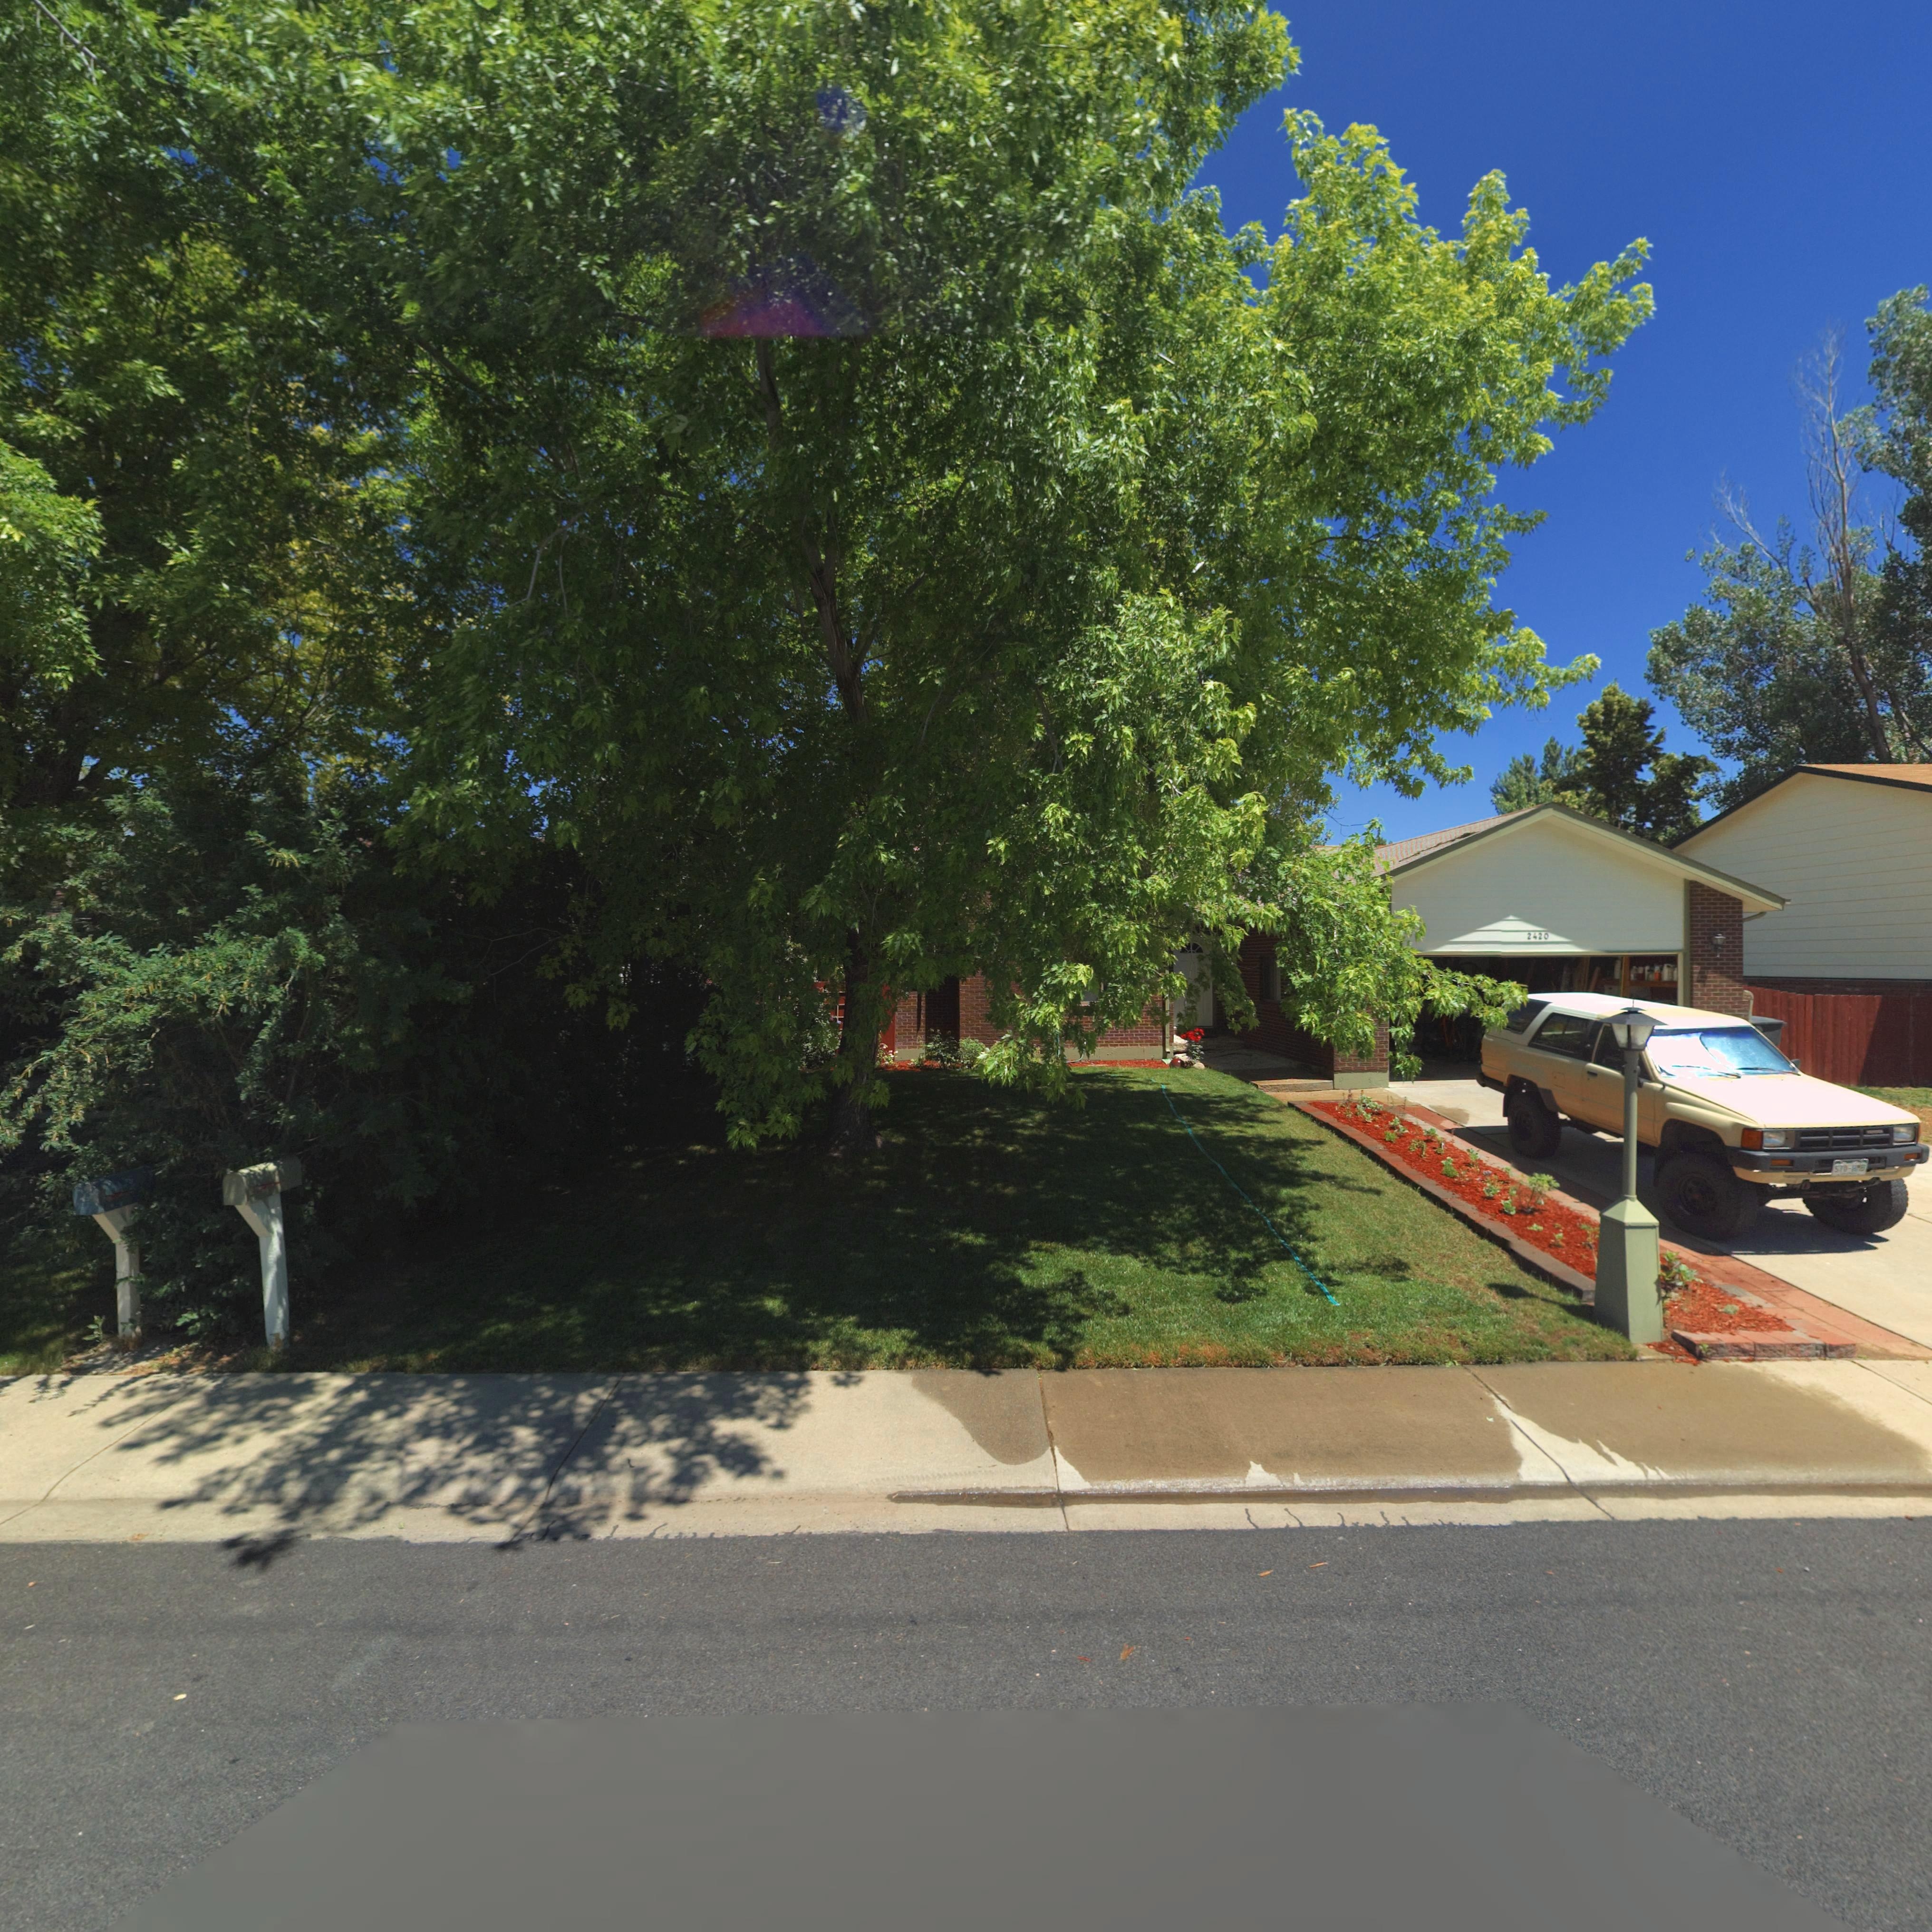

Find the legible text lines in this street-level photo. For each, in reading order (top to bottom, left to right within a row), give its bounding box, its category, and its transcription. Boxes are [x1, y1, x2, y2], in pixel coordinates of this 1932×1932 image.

[1526, 932, 1549, 940] StreetNumber: 2420